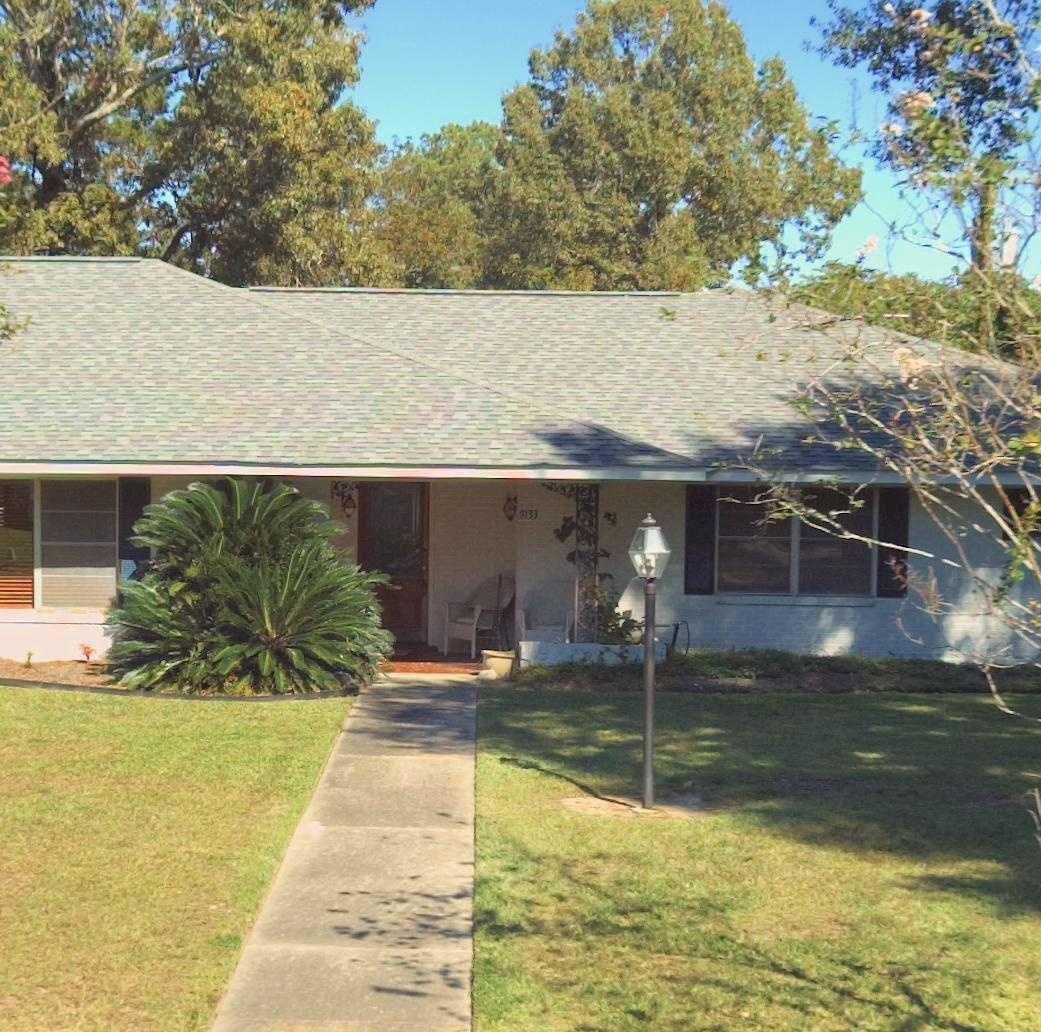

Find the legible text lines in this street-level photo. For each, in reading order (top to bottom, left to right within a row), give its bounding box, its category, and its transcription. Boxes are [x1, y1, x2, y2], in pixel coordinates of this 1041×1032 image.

[517, 508, 540, 521] StreetNumber: 9133